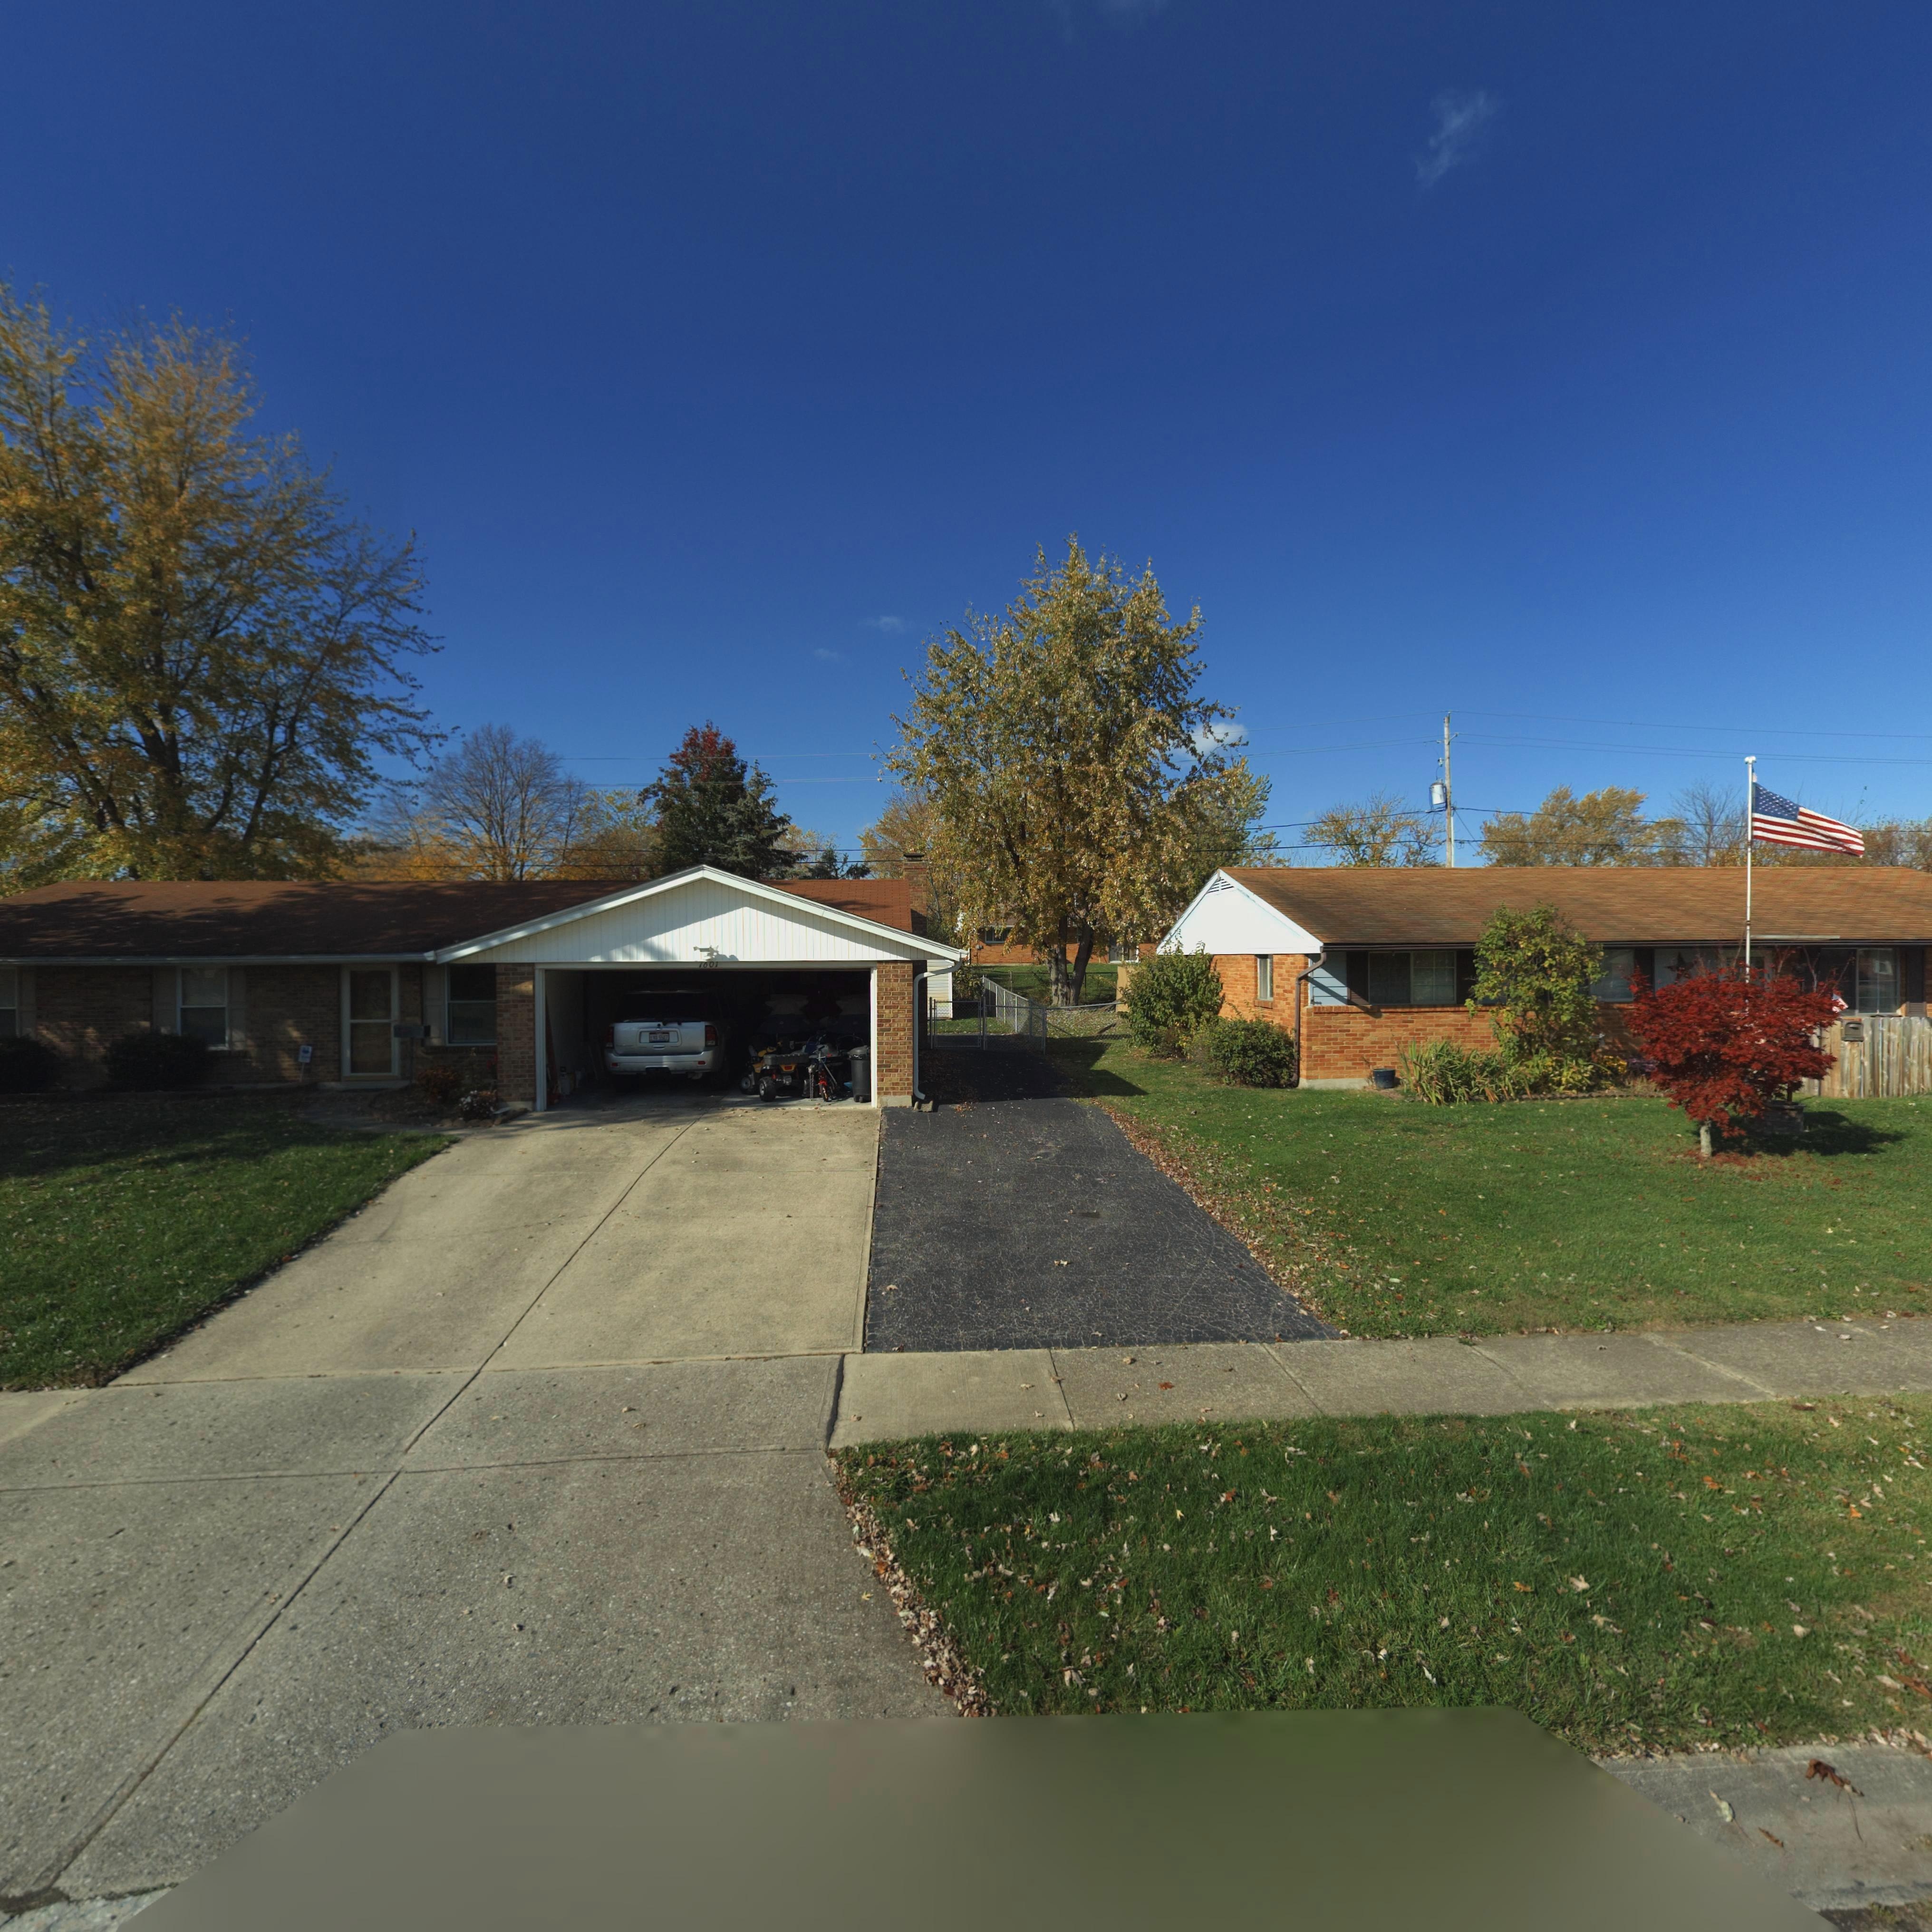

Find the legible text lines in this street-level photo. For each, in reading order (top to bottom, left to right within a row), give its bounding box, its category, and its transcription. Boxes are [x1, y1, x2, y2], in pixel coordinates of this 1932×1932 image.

[697, 960, 719, 969] StreetNumber: **0*